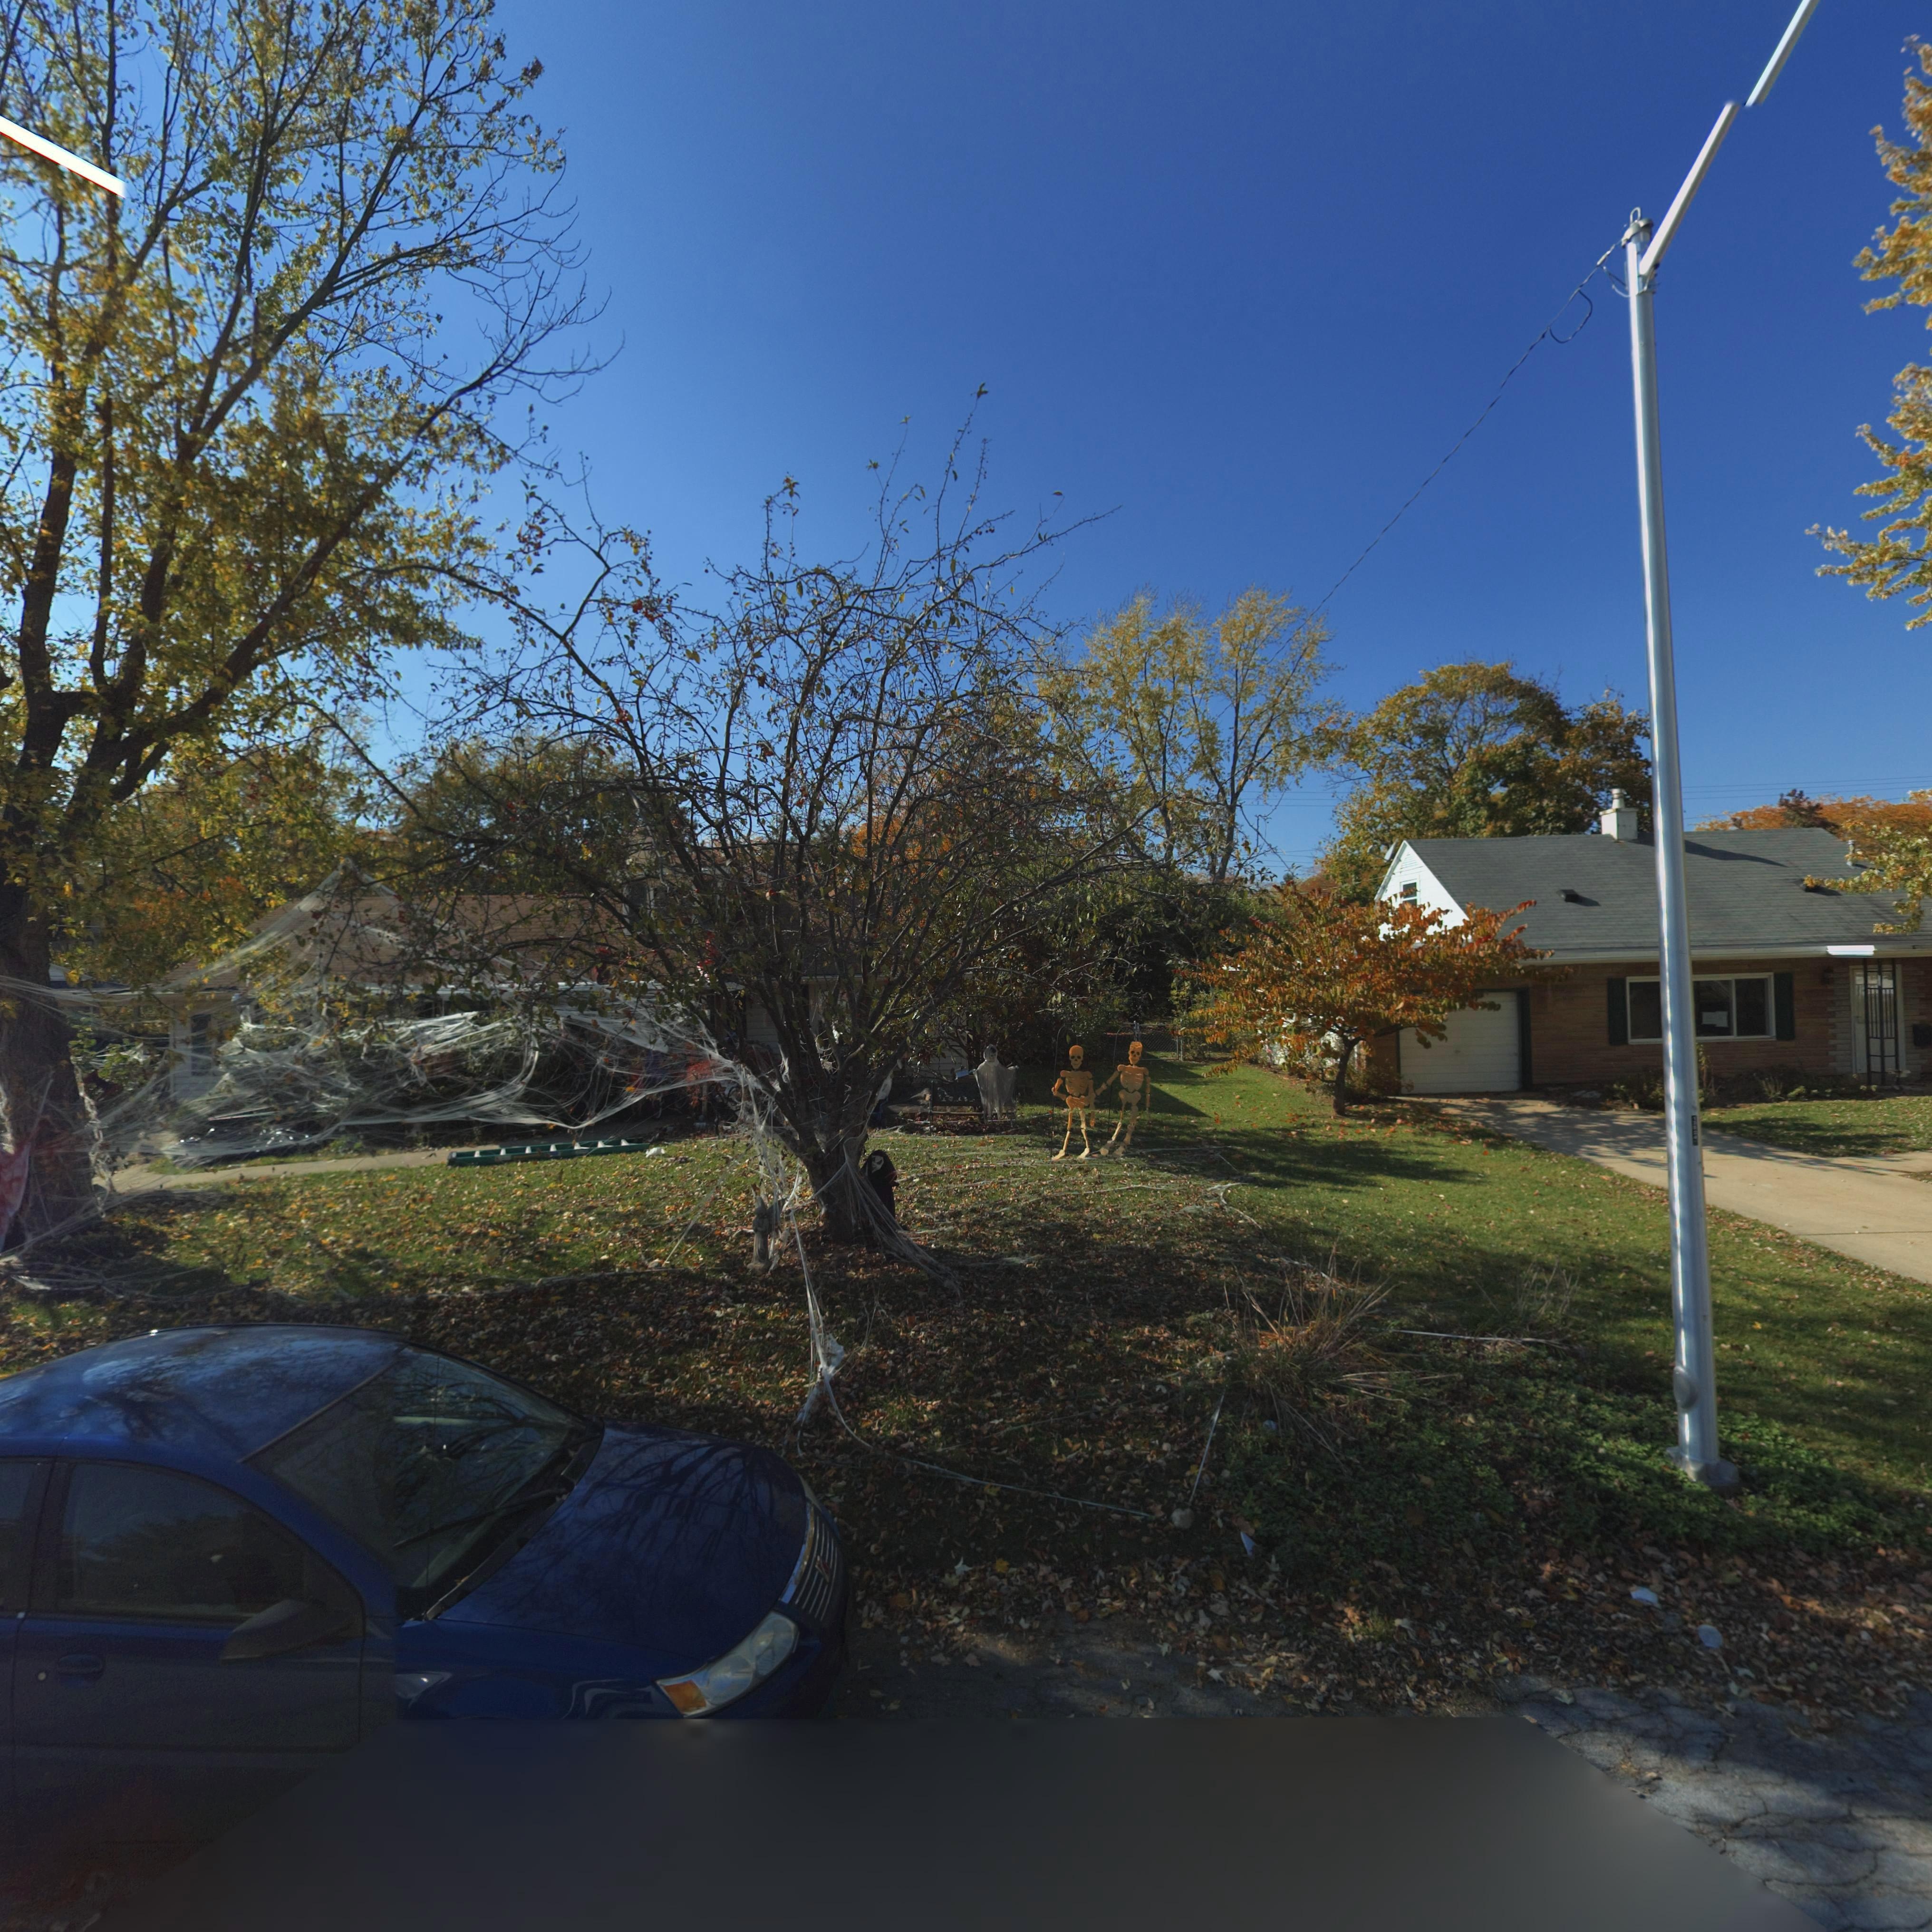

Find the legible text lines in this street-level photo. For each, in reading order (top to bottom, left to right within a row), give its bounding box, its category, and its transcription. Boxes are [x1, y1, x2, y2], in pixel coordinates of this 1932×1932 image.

[1691, 1115, 1698, 1140] None: 1**2*